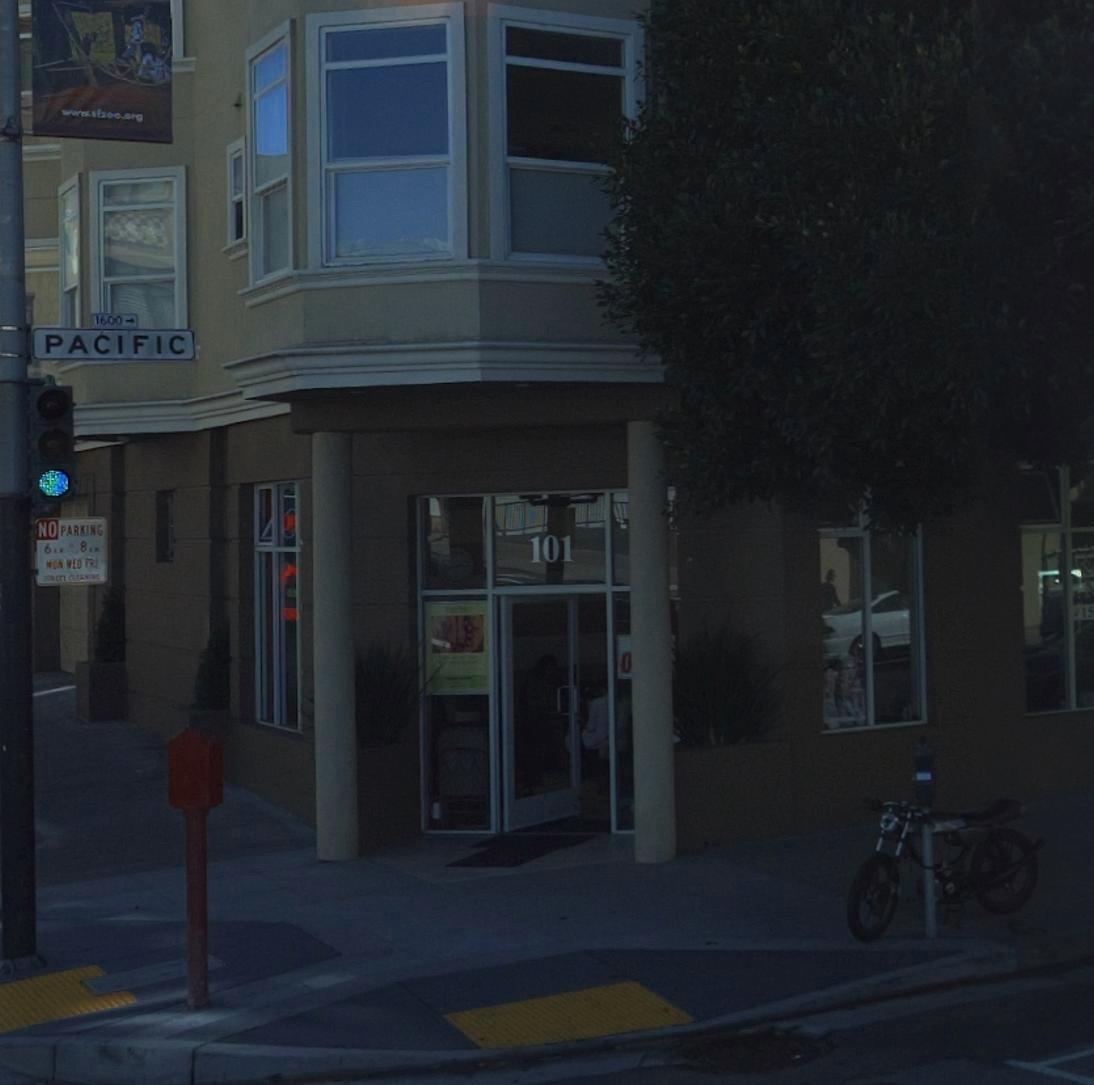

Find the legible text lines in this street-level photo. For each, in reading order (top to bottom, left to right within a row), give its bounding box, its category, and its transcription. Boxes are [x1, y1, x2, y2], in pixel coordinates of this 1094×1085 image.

[96, 106, 145, 124] None: boc.org
[94, 314, 136, 327] StreetNumberRange: 1600->
[43, 332, 187, 356] StreetName: PACIFIC
[36, 519, 105, 539] None: NO PARKING
[42, 541, 52, 555] None: 6
[79, 540, 87, 553] None: 8
[527, 533, 576, 564] StreetNumber: 101
[44, 555, 100, 570] None: MON WEN FRI
[618, 650, 632, 676] None: O